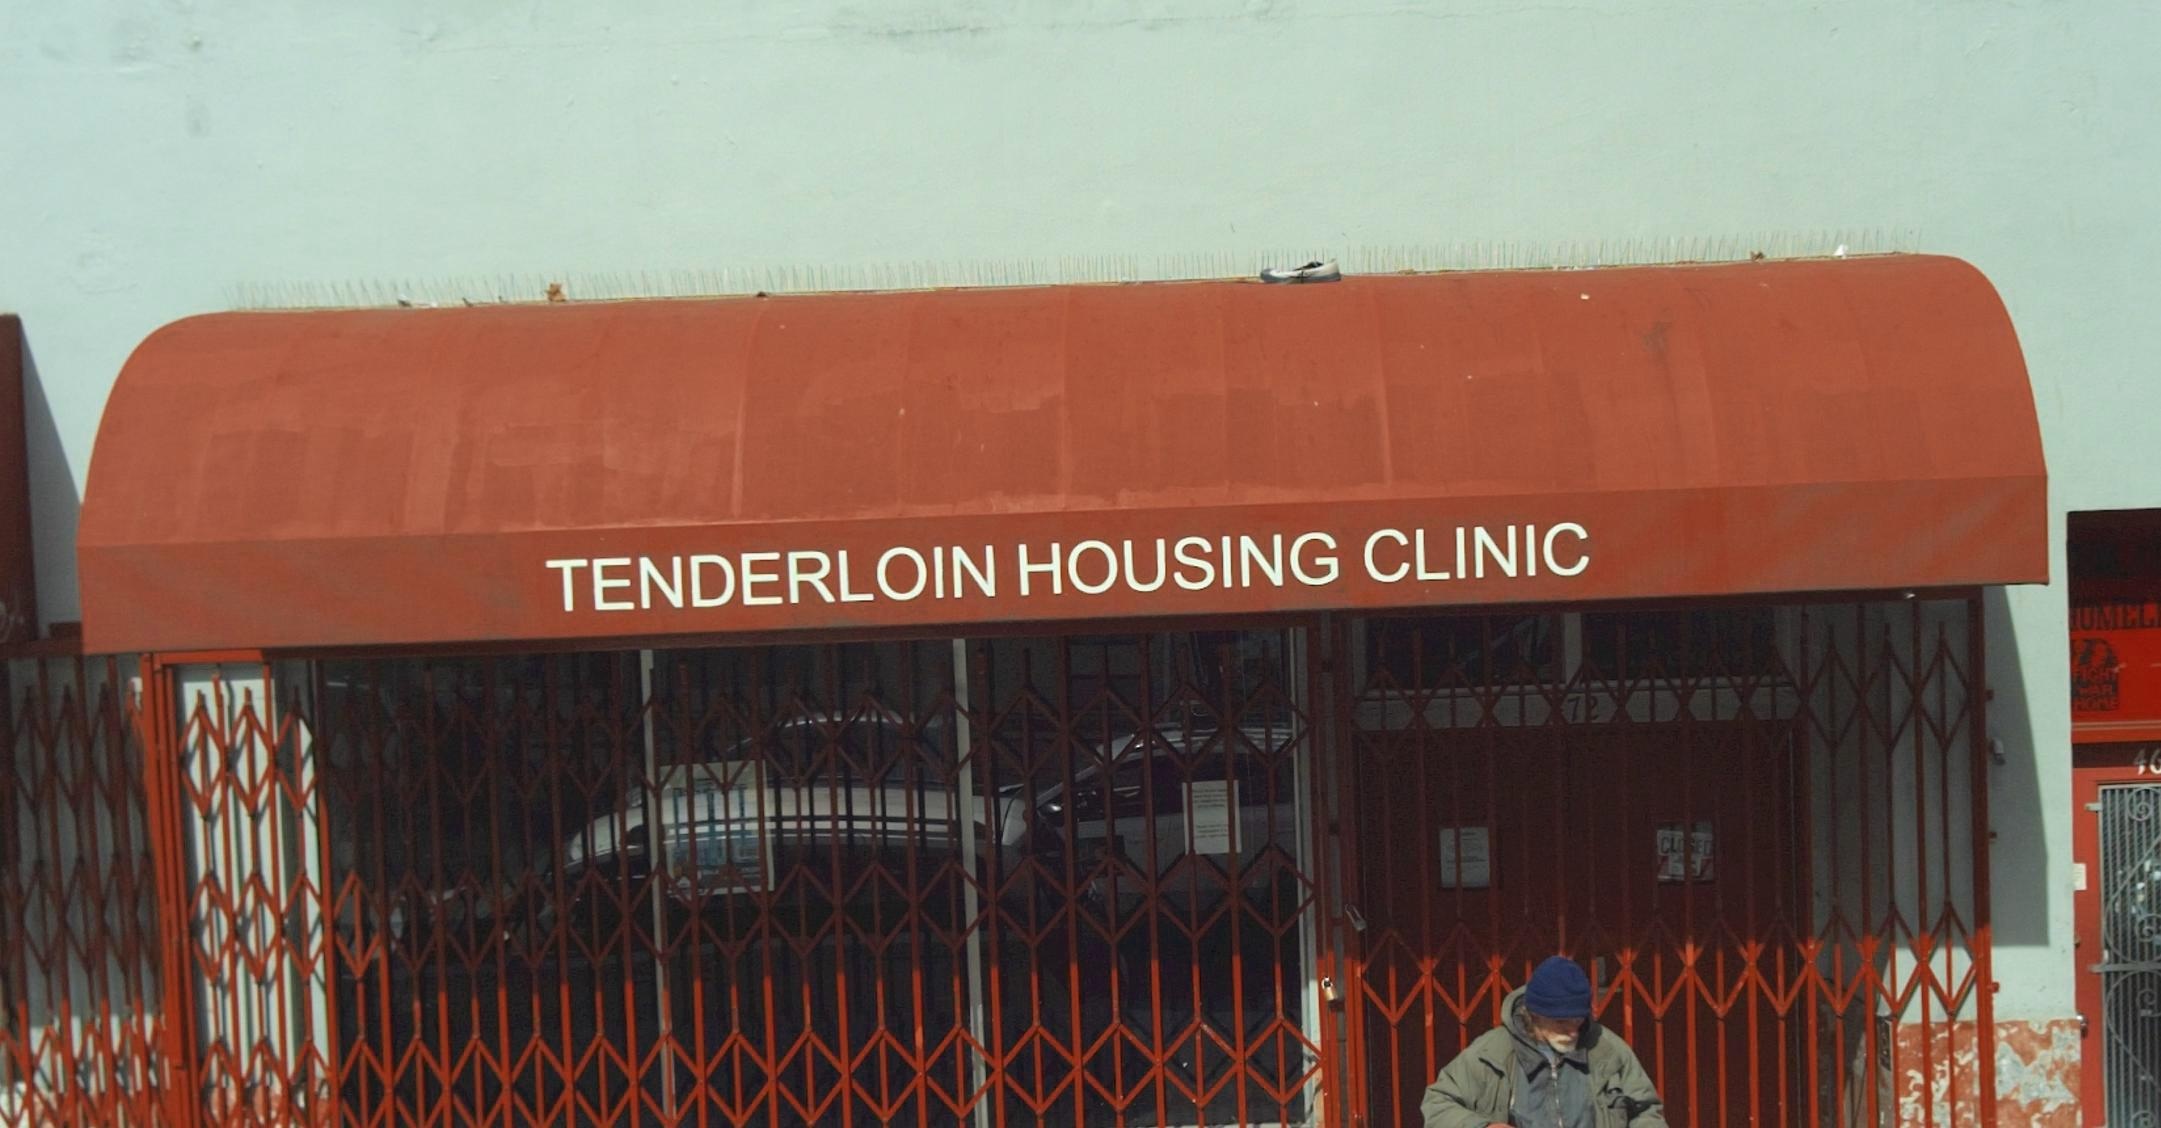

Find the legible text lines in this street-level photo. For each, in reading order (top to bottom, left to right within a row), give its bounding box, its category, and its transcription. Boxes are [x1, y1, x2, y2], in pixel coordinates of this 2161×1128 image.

[541, 519, 1592, 616] BusinessName: TENDERLOIN HOUSING CLINIC
[2076, 594, 2158, 634] None: OMEL
[1565, 692, 1584, 724] StreetNumber: 7
[2069, 665, 2121, 686] None: FIGHT
[2070, 694, 2121, 712] None: HOME
[2075, 682, 2117, 697] None: WAR
[2128, 744, 2151, 778] StreetNumber: 4
[1656, 831, 1717, 860] None: CL**ED